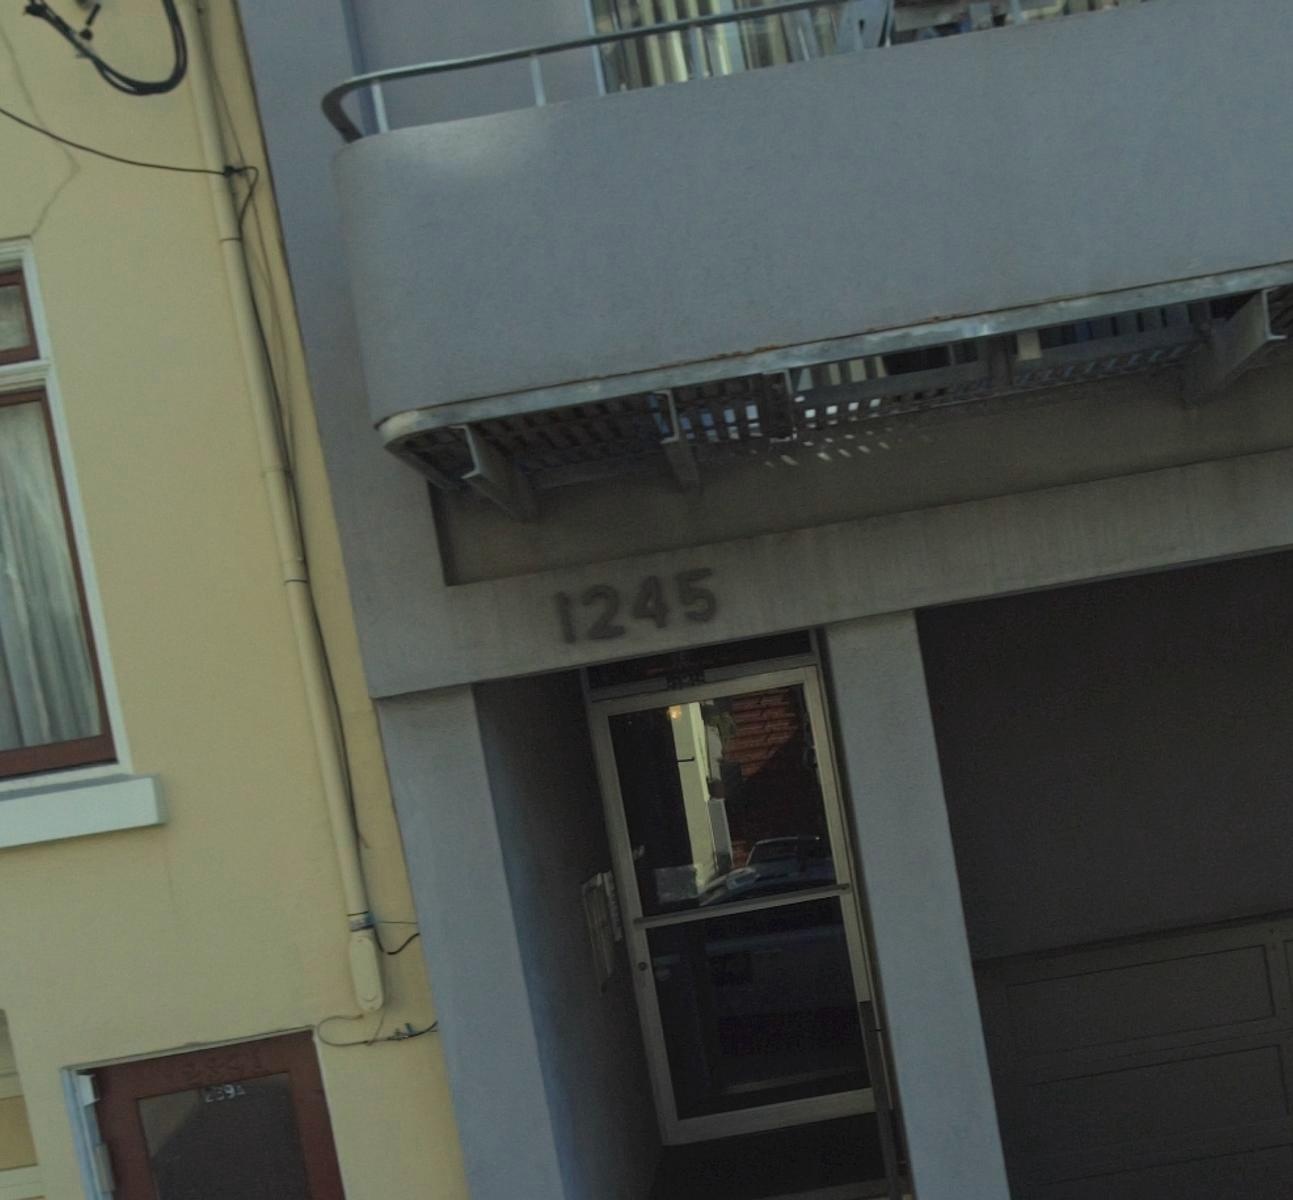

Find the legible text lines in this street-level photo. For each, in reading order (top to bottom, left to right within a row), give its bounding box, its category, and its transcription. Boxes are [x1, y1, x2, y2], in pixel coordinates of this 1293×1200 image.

[546, 561, 724, 650] StreetNumber: 1245
[160, 1046, 278, 1093] StreetNumber: 1239A
[193, 1079, 249, 1107] StreetNumber: 1239A